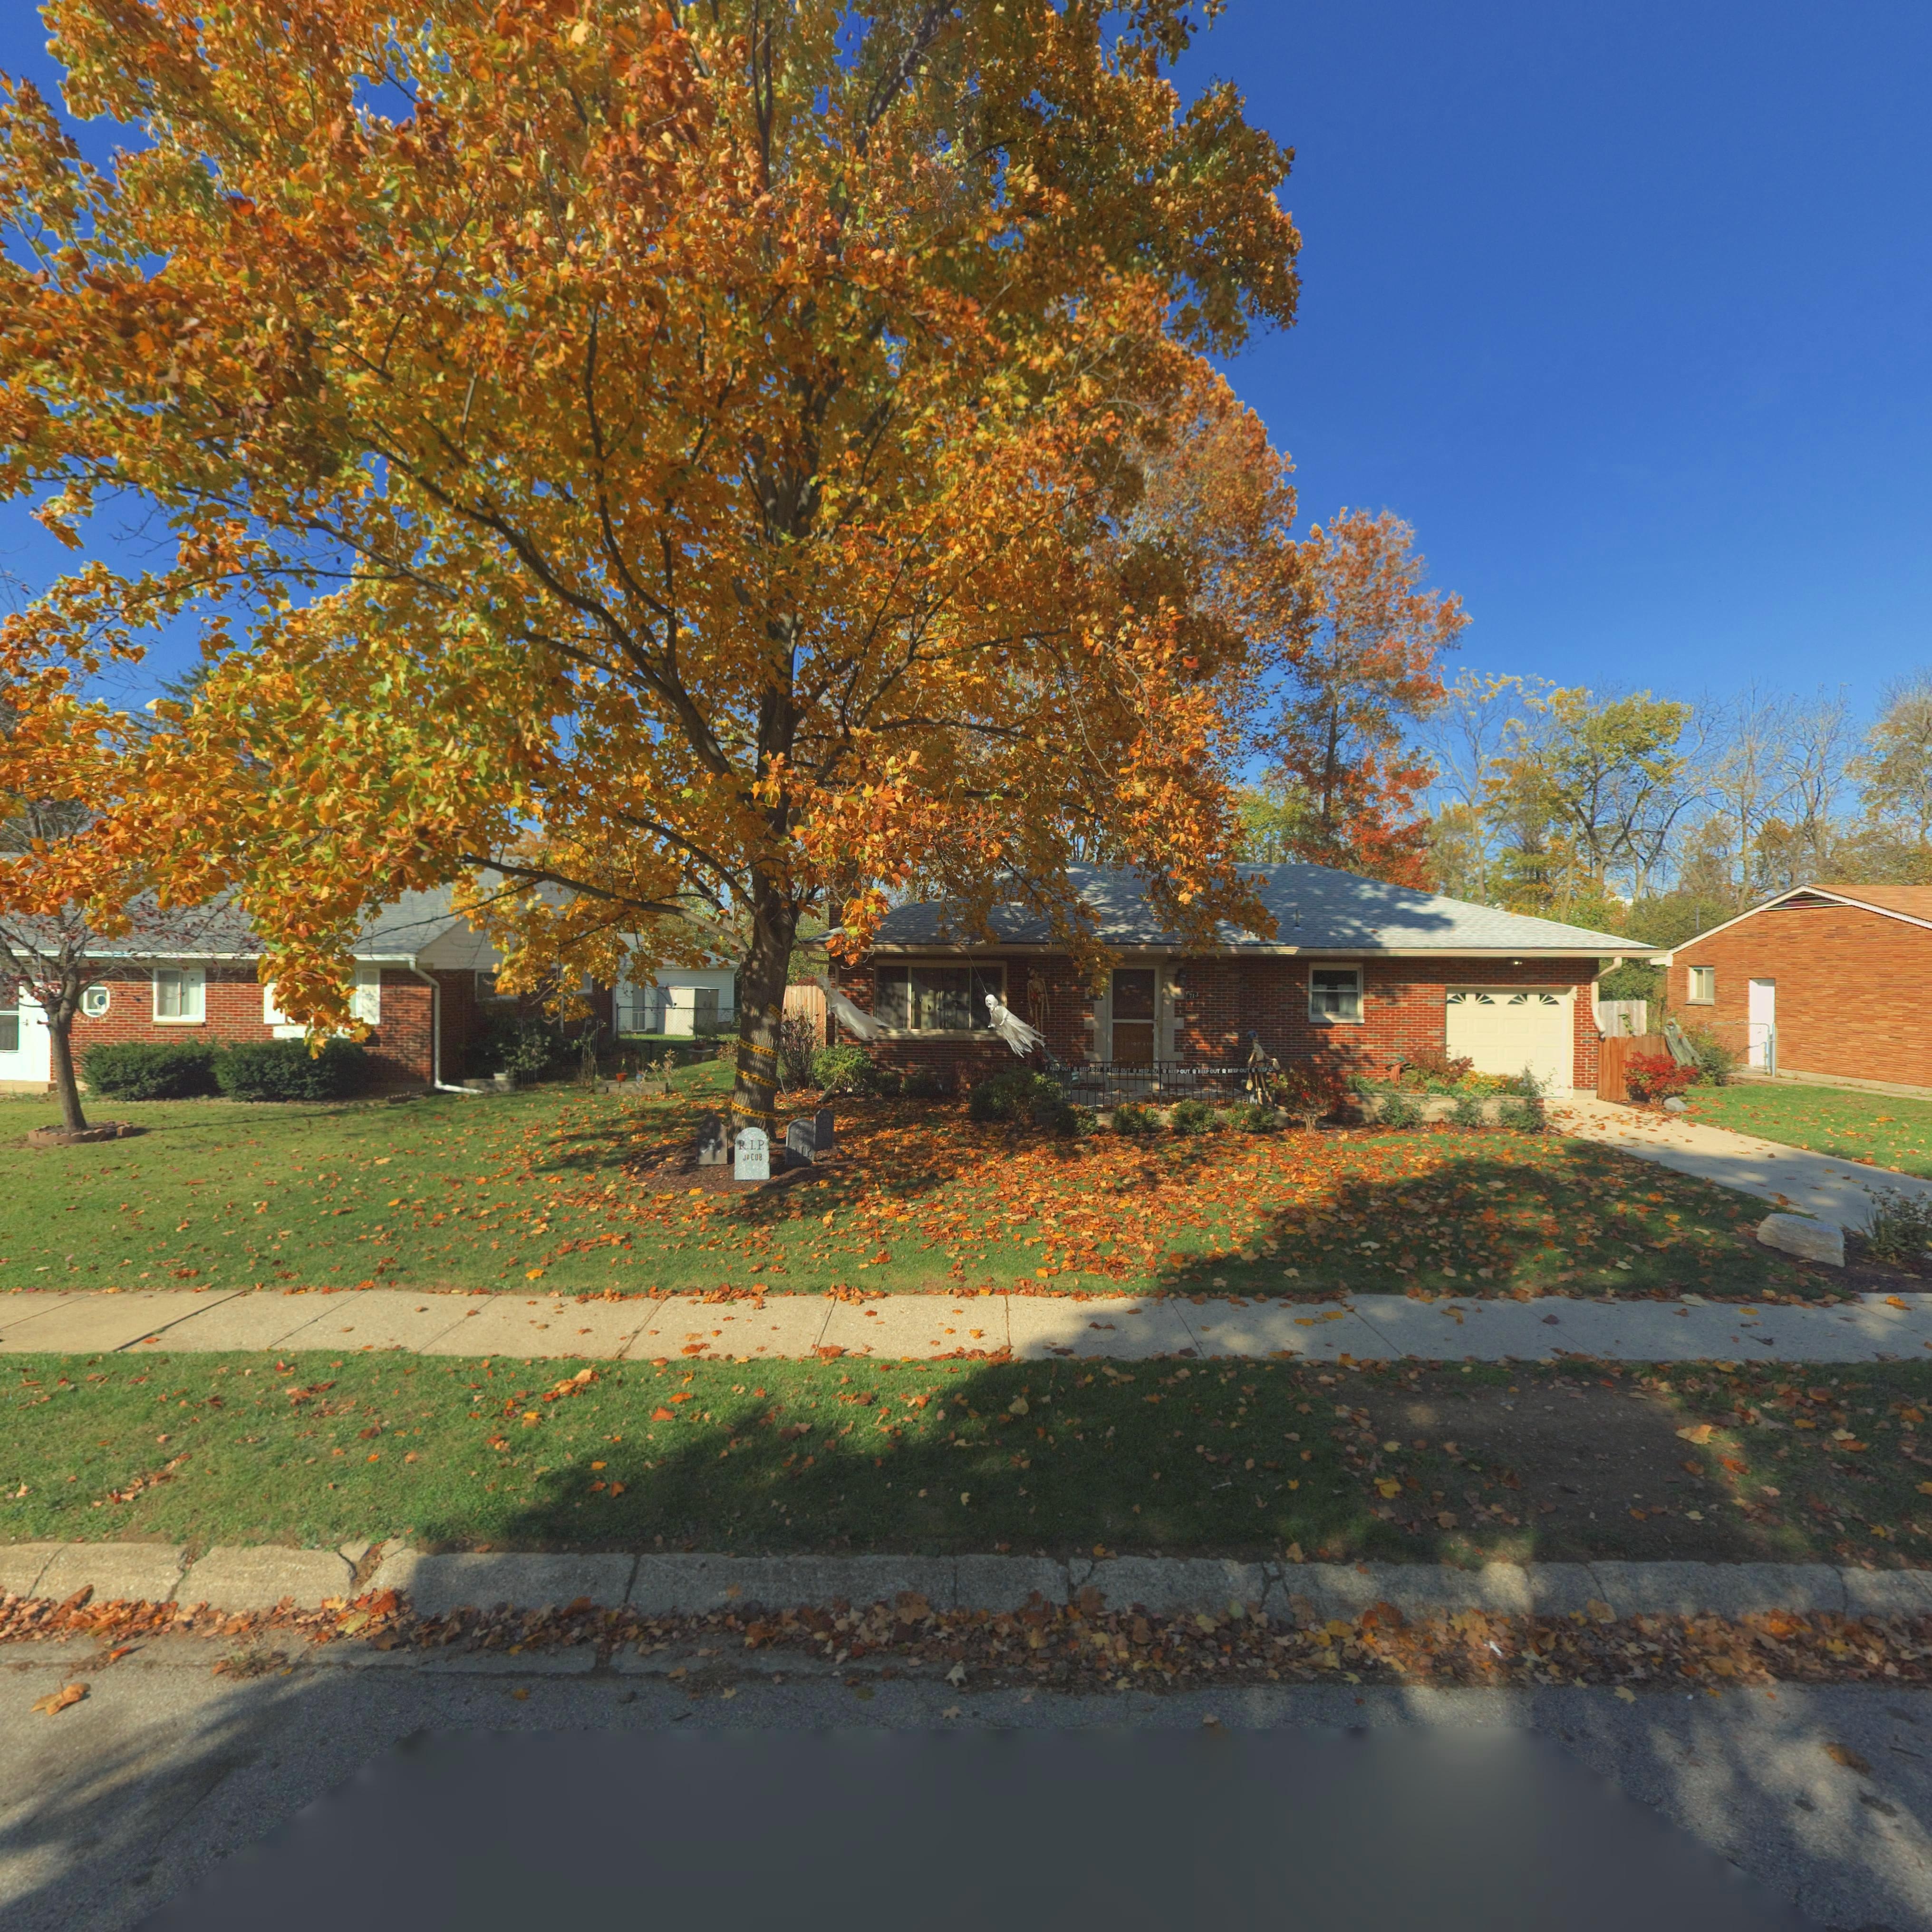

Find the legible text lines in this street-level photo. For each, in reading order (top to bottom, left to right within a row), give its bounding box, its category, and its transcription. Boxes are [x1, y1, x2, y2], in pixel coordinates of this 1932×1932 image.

[1188, 991, 1199, 999] StreetNumber: 713